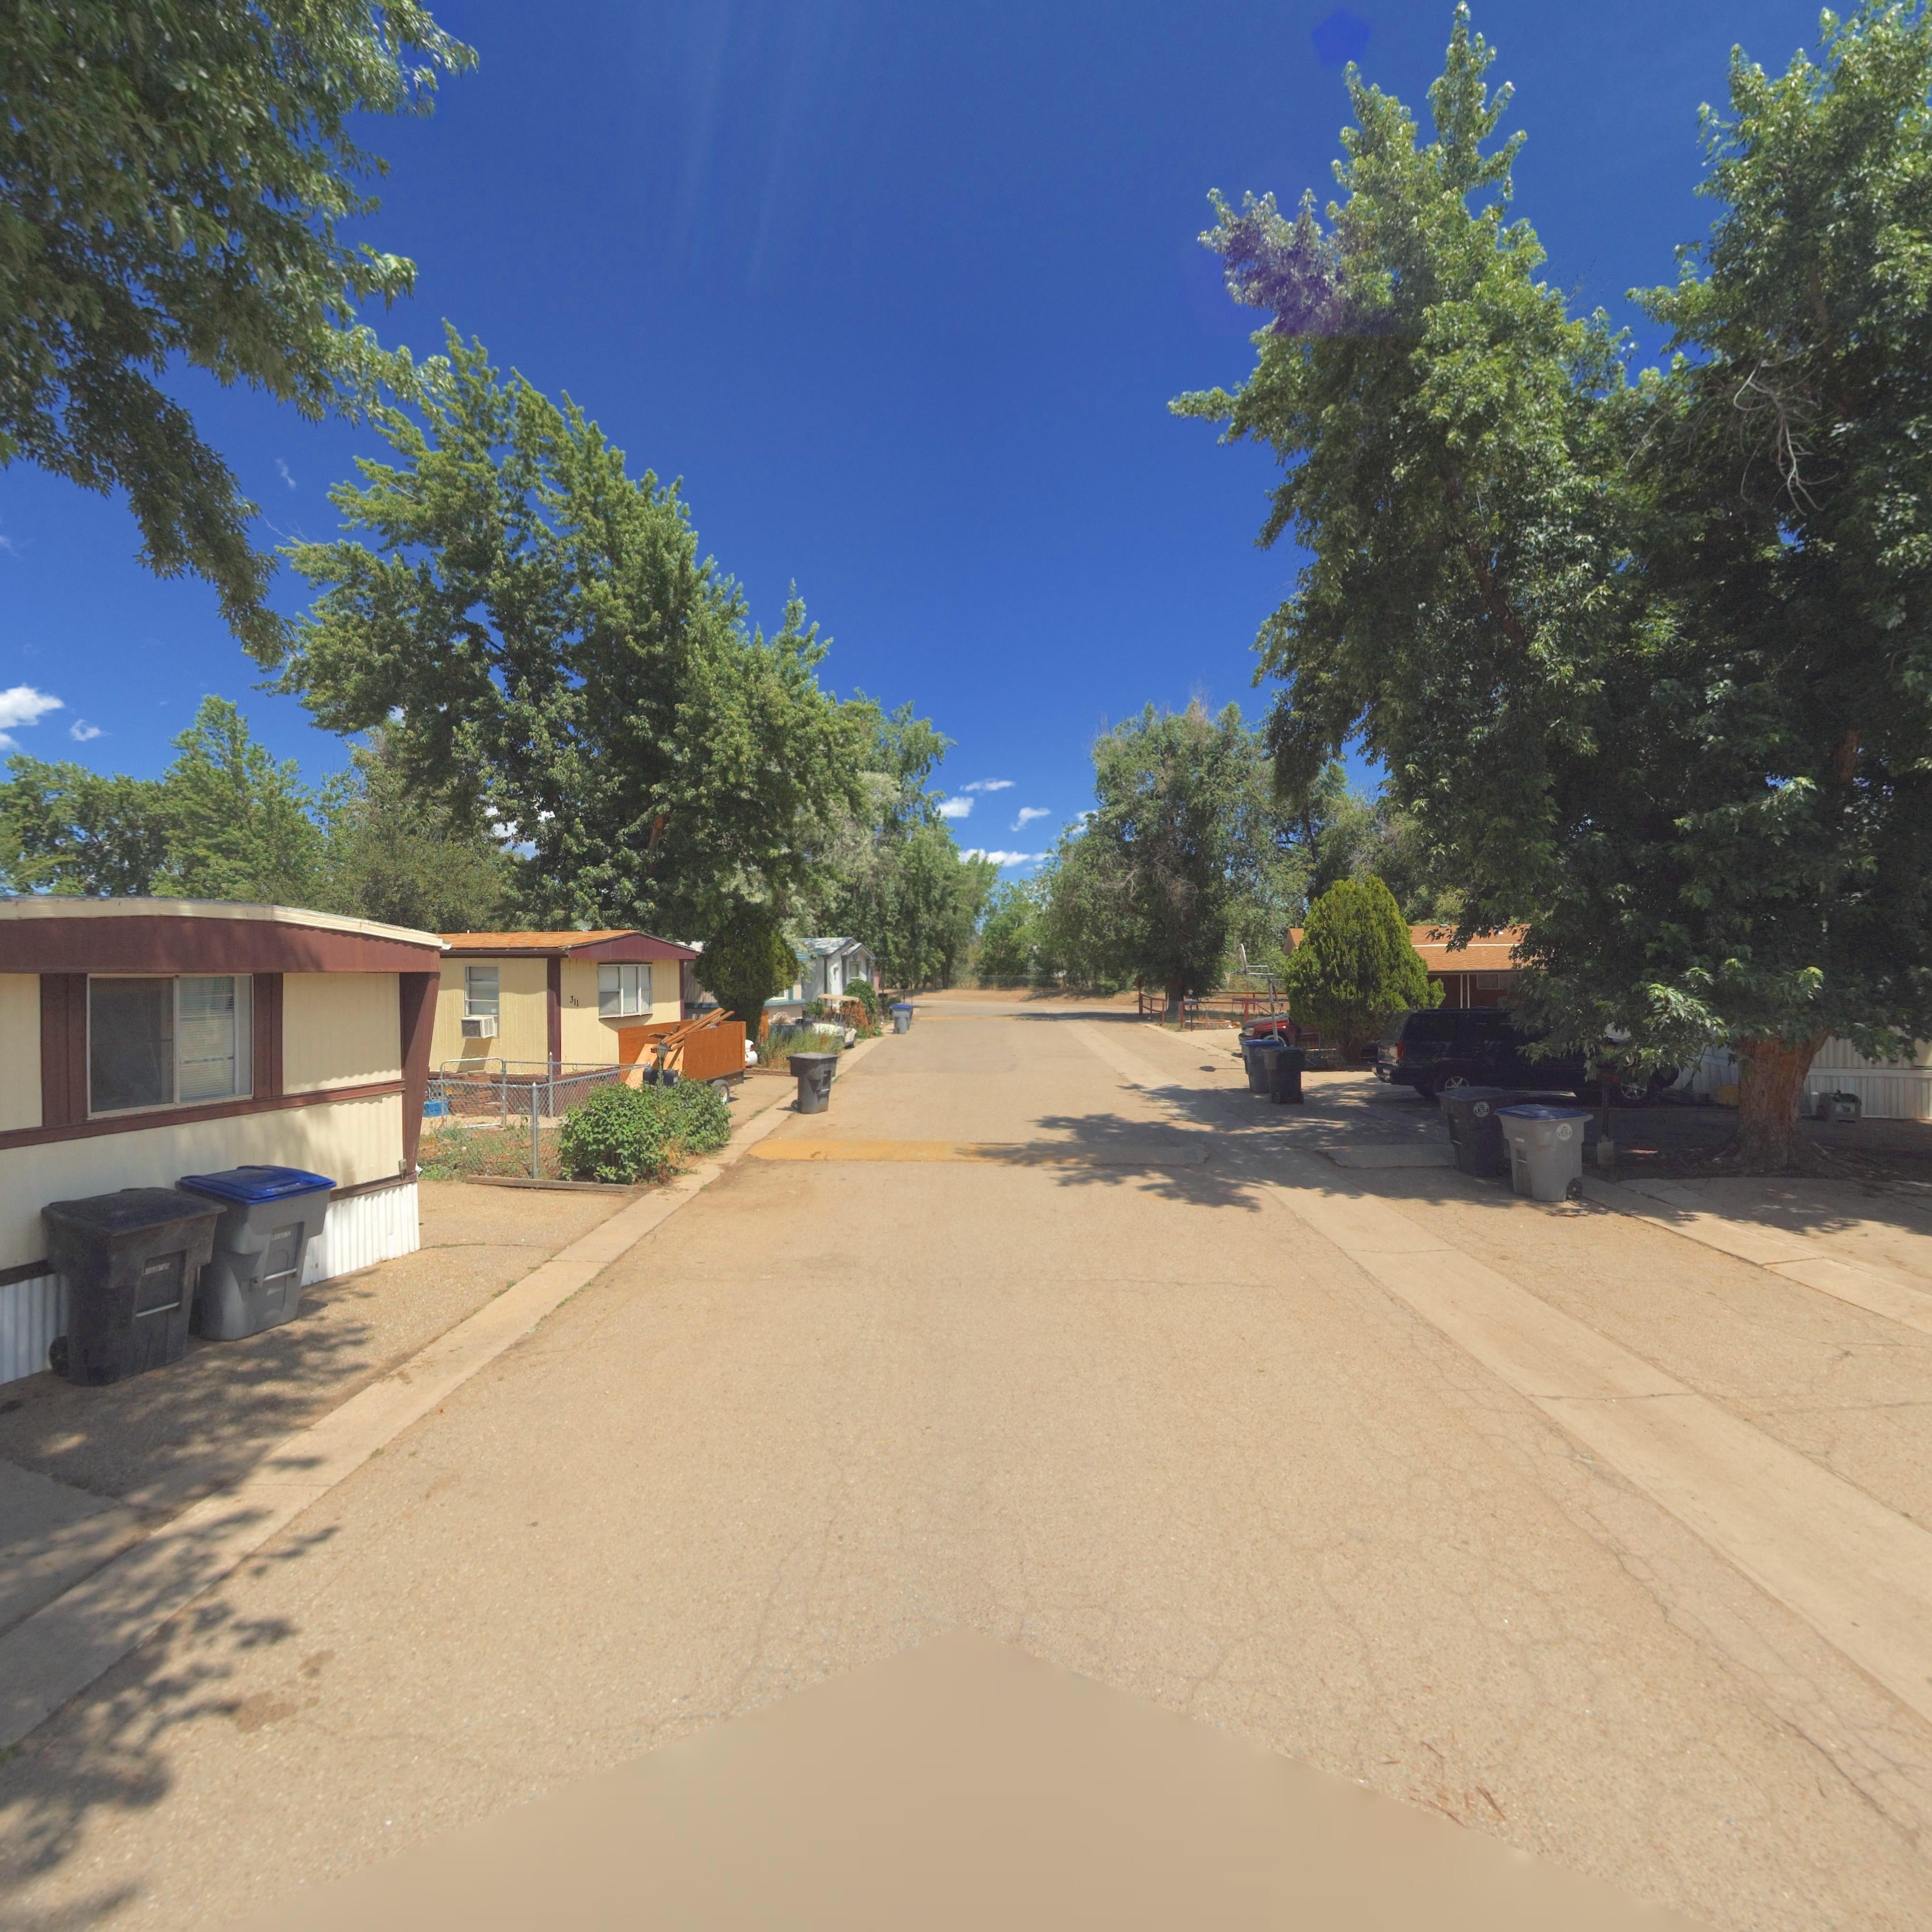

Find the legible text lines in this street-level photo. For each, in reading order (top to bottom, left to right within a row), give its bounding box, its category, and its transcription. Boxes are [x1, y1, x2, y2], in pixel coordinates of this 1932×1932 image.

[569, 995, 579, 1007] StreetNumber: 311